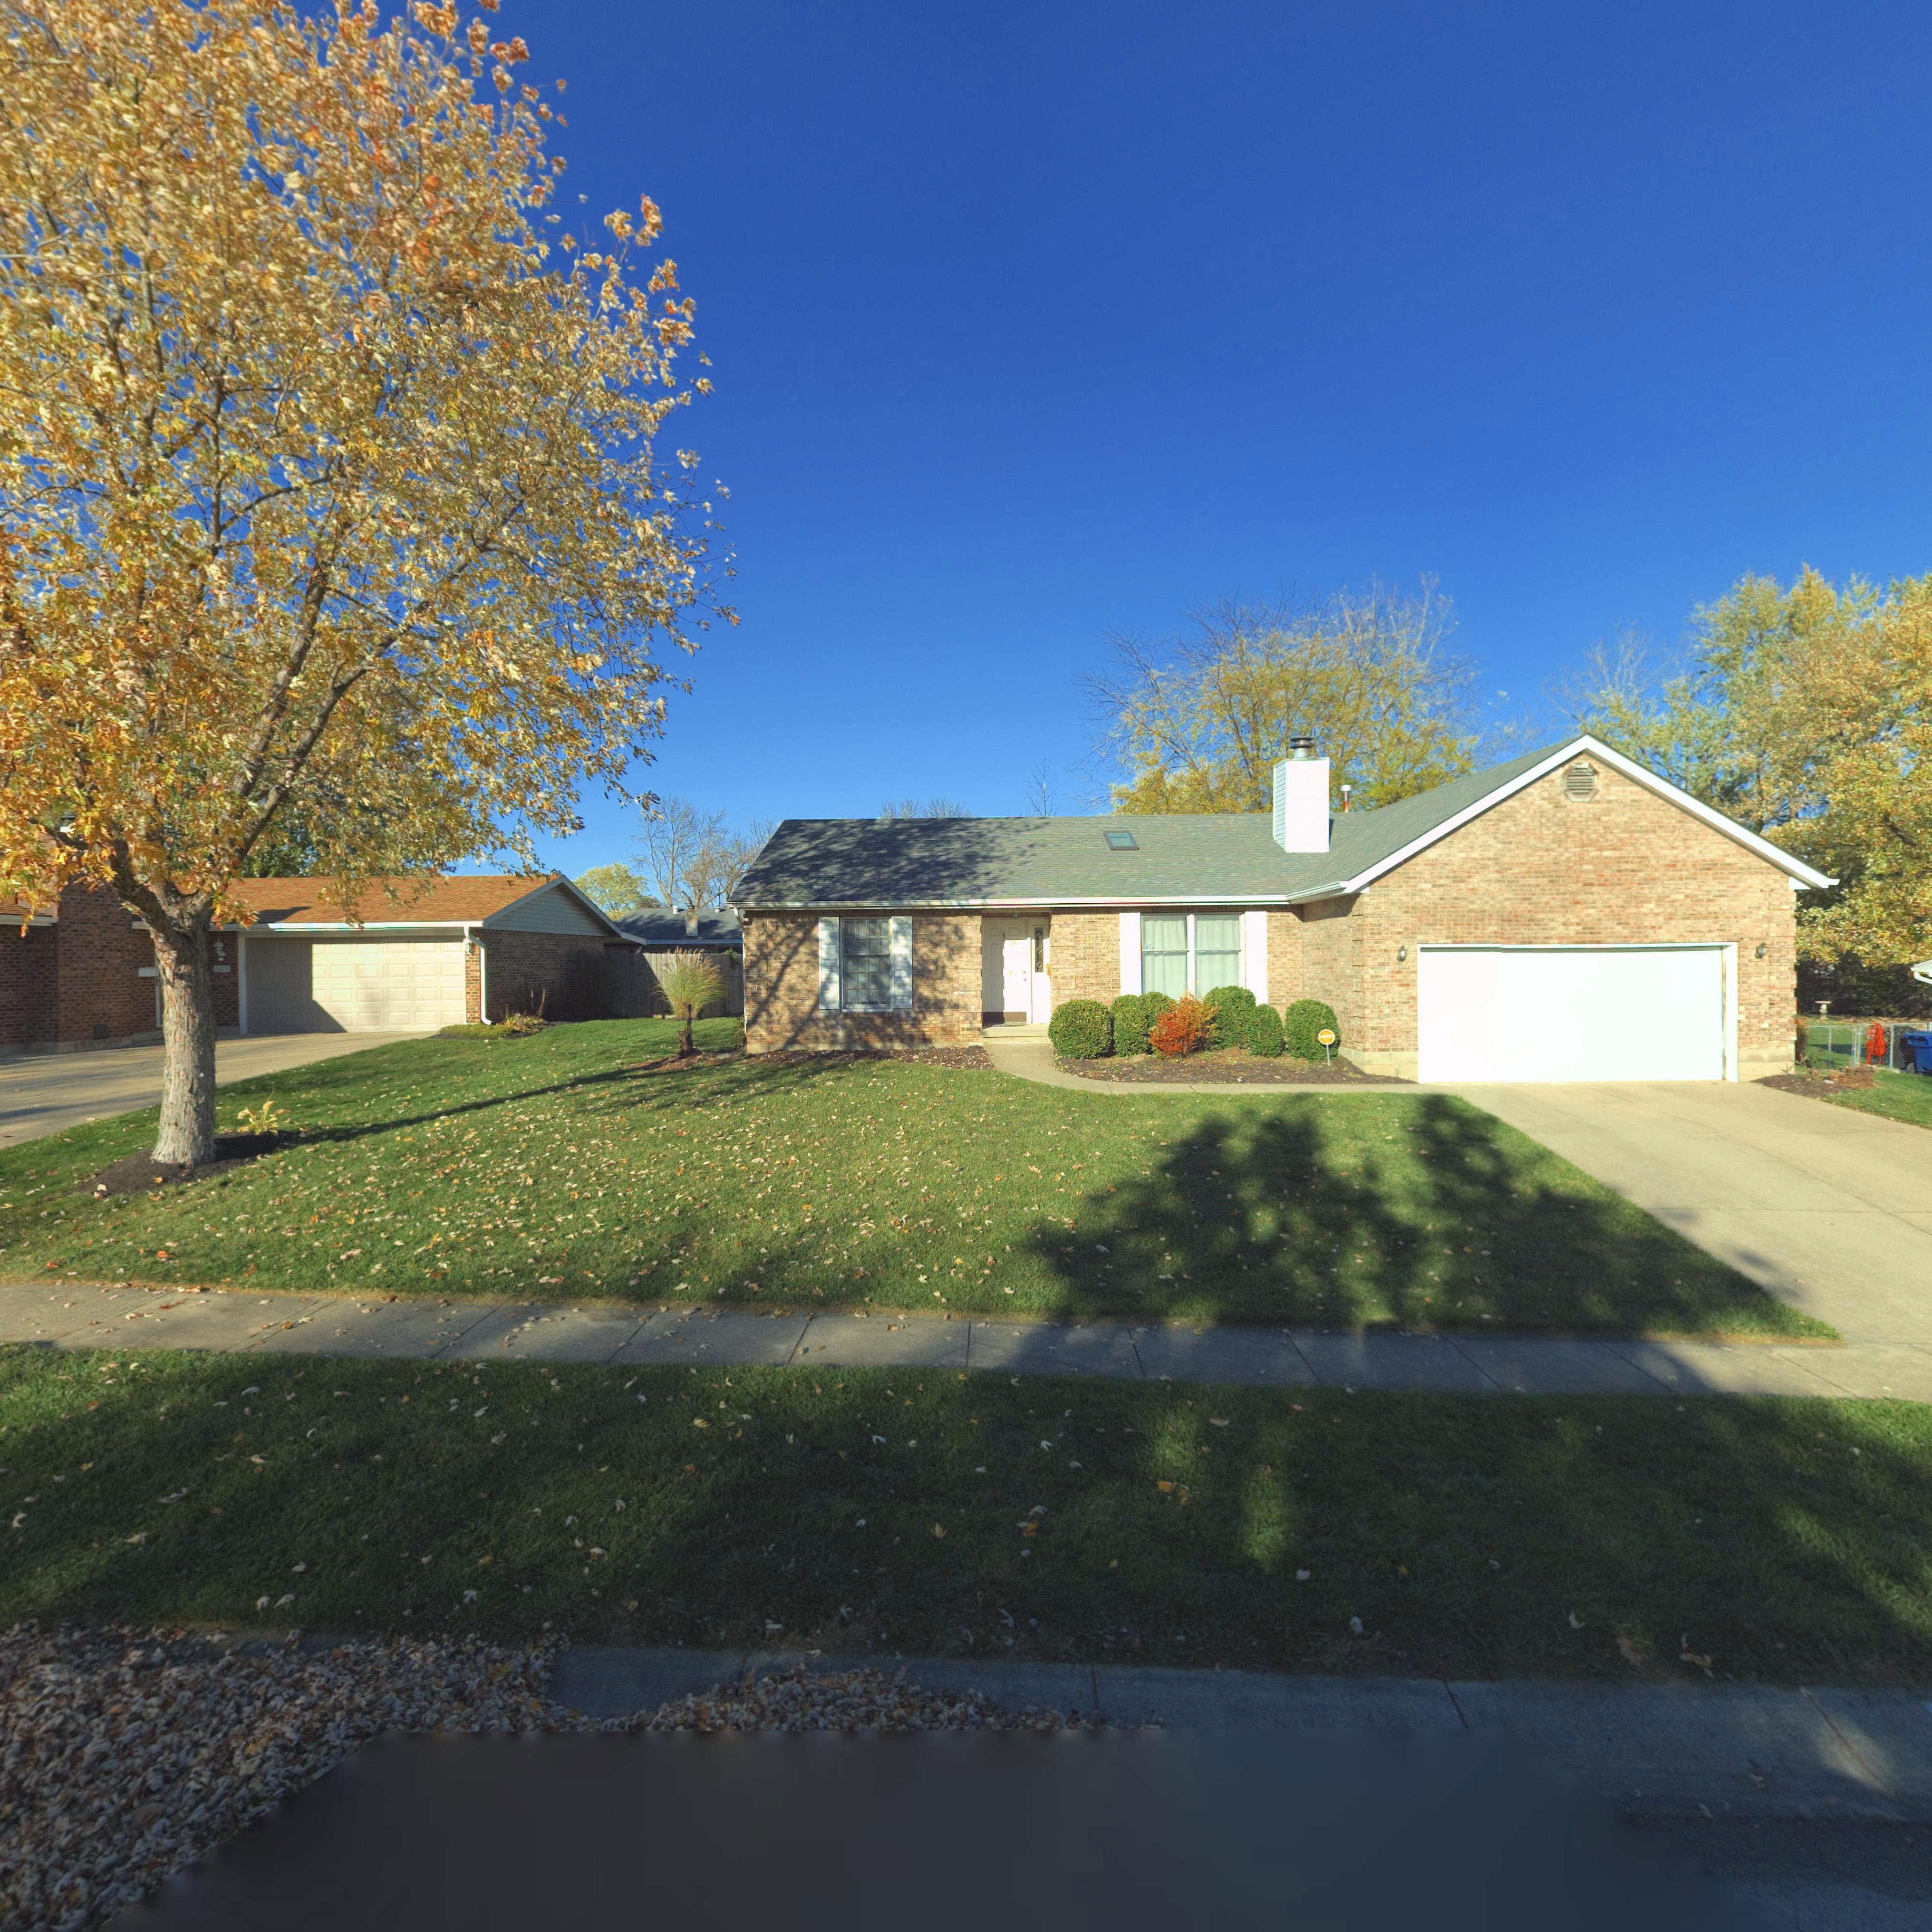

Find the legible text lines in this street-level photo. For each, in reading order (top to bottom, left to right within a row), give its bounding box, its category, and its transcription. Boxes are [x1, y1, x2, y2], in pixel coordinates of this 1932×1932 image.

[214, 966, 229, 972] StreetNumber: 5079